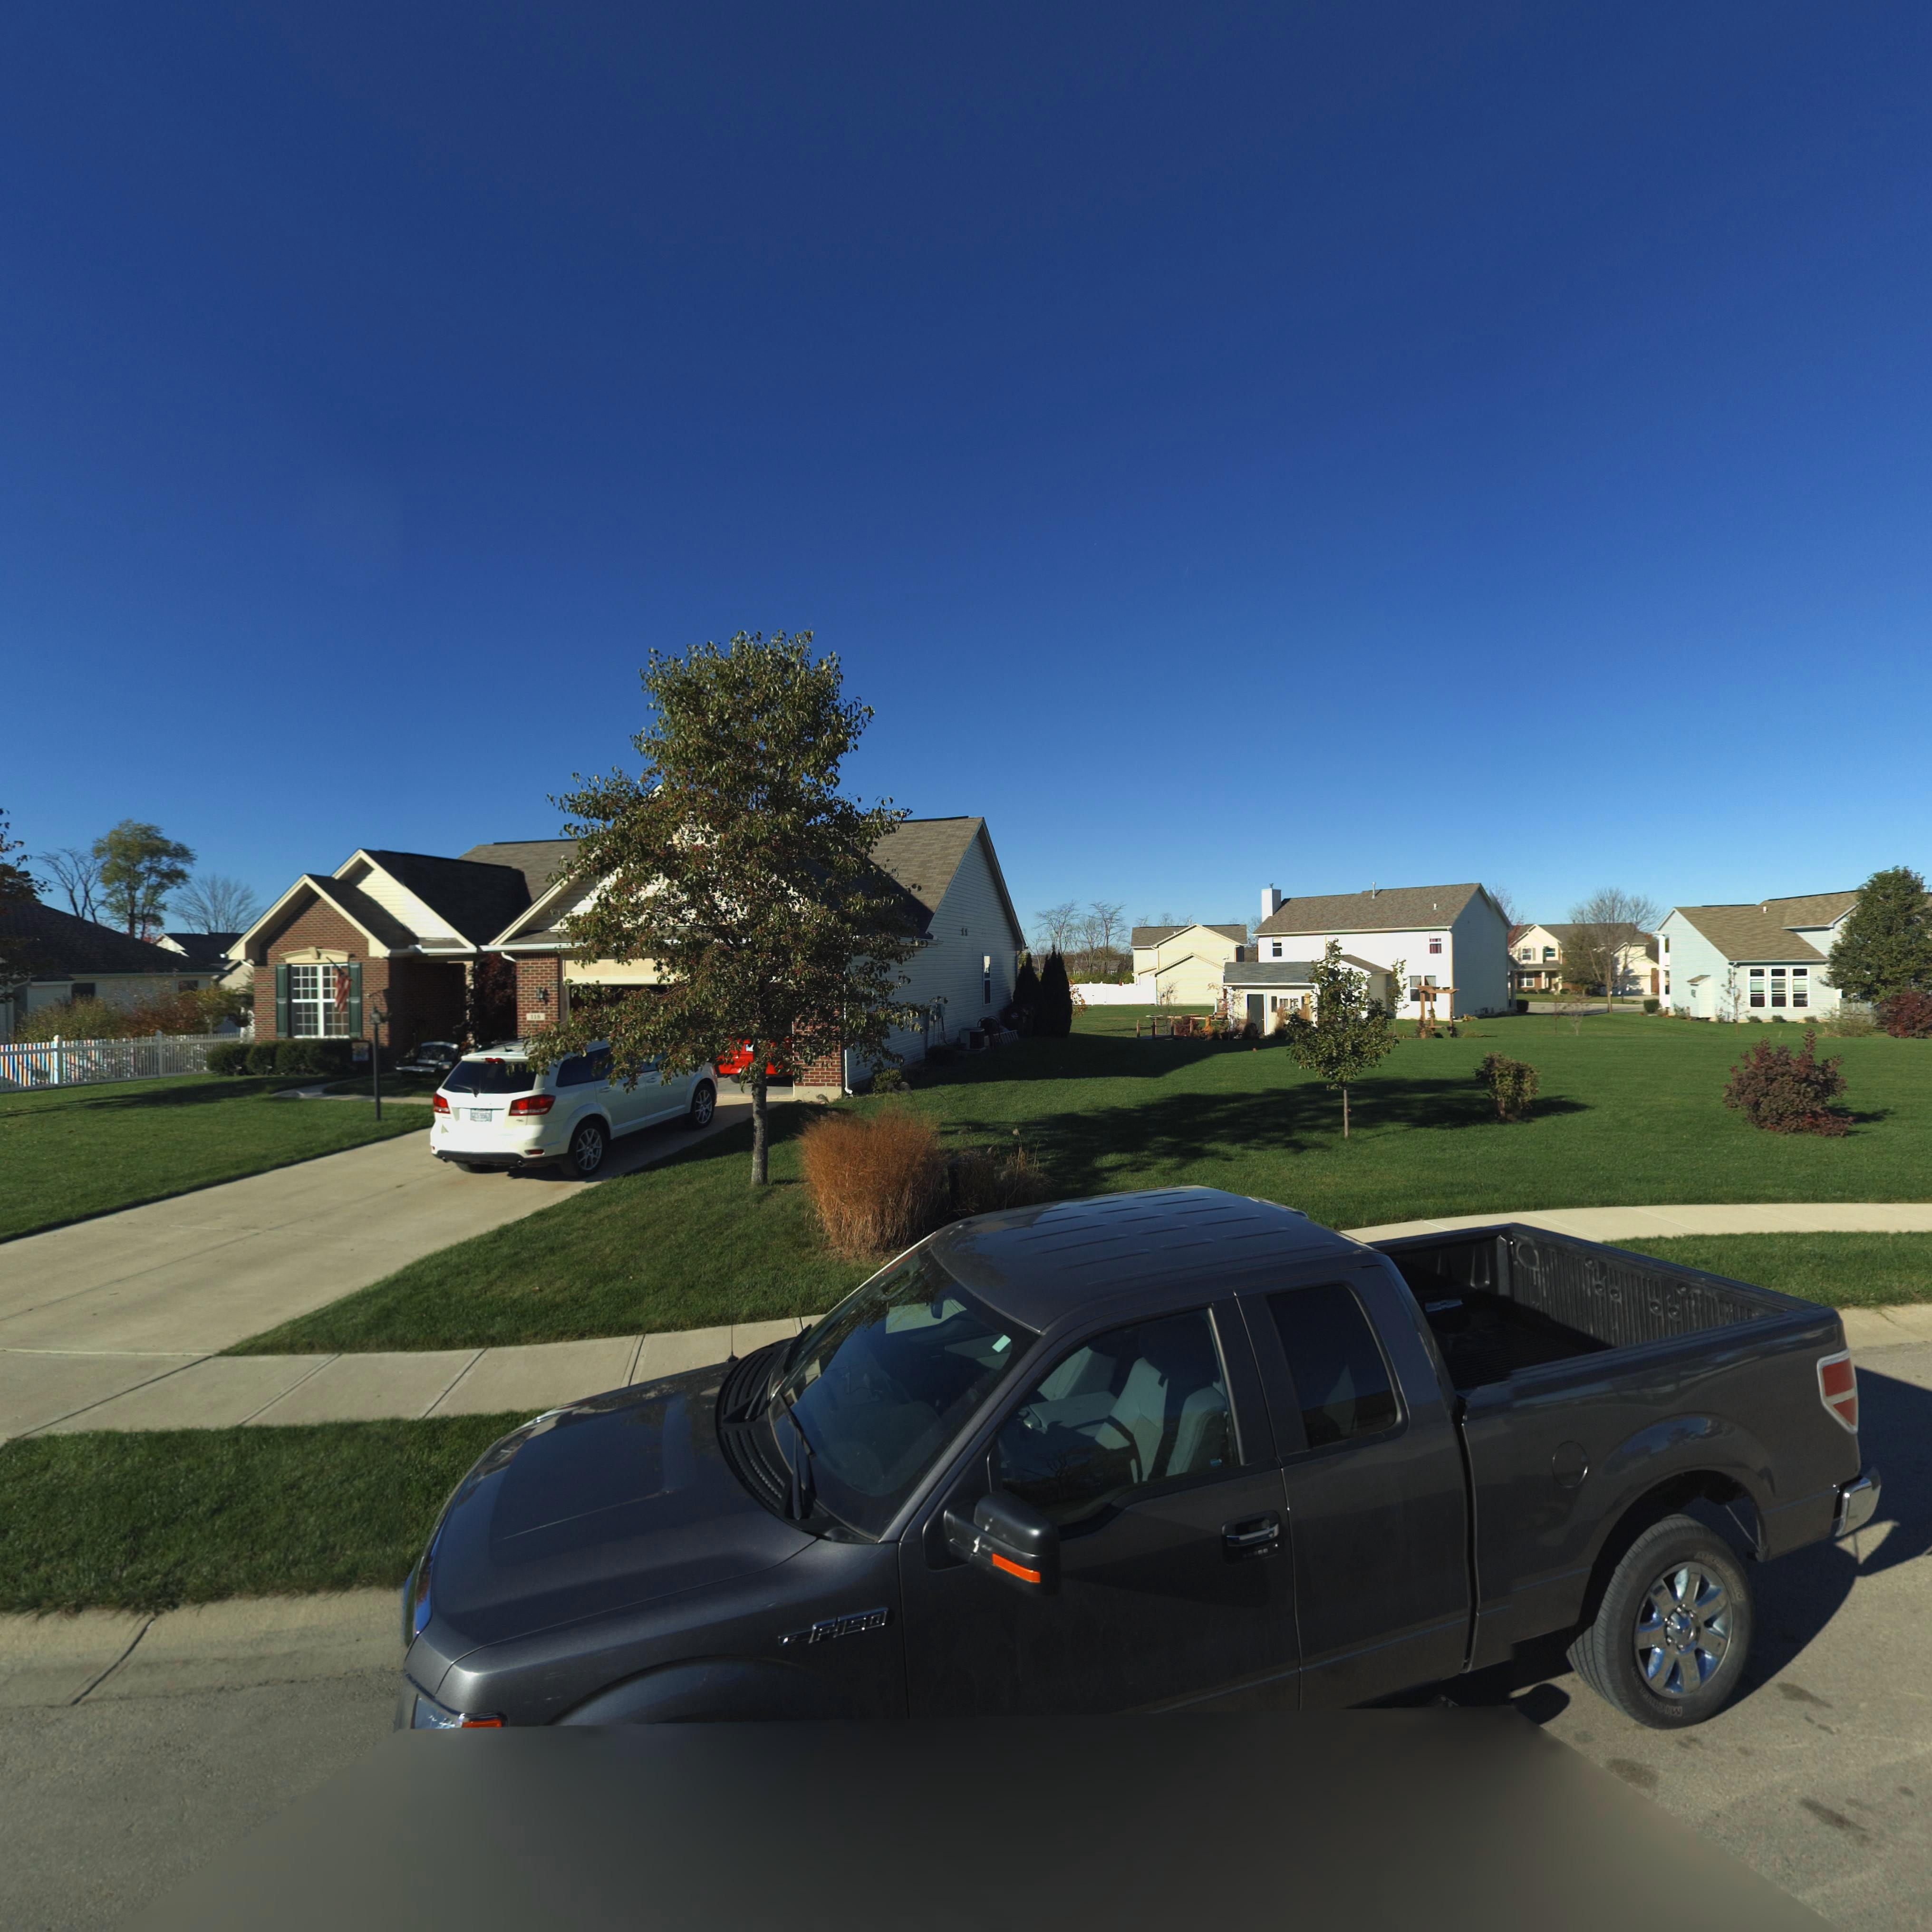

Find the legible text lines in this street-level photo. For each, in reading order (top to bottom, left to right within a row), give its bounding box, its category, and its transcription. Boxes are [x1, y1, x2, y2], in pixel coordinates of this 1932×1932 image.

[530, 1014, 541, 1020] StreetNumber: 118